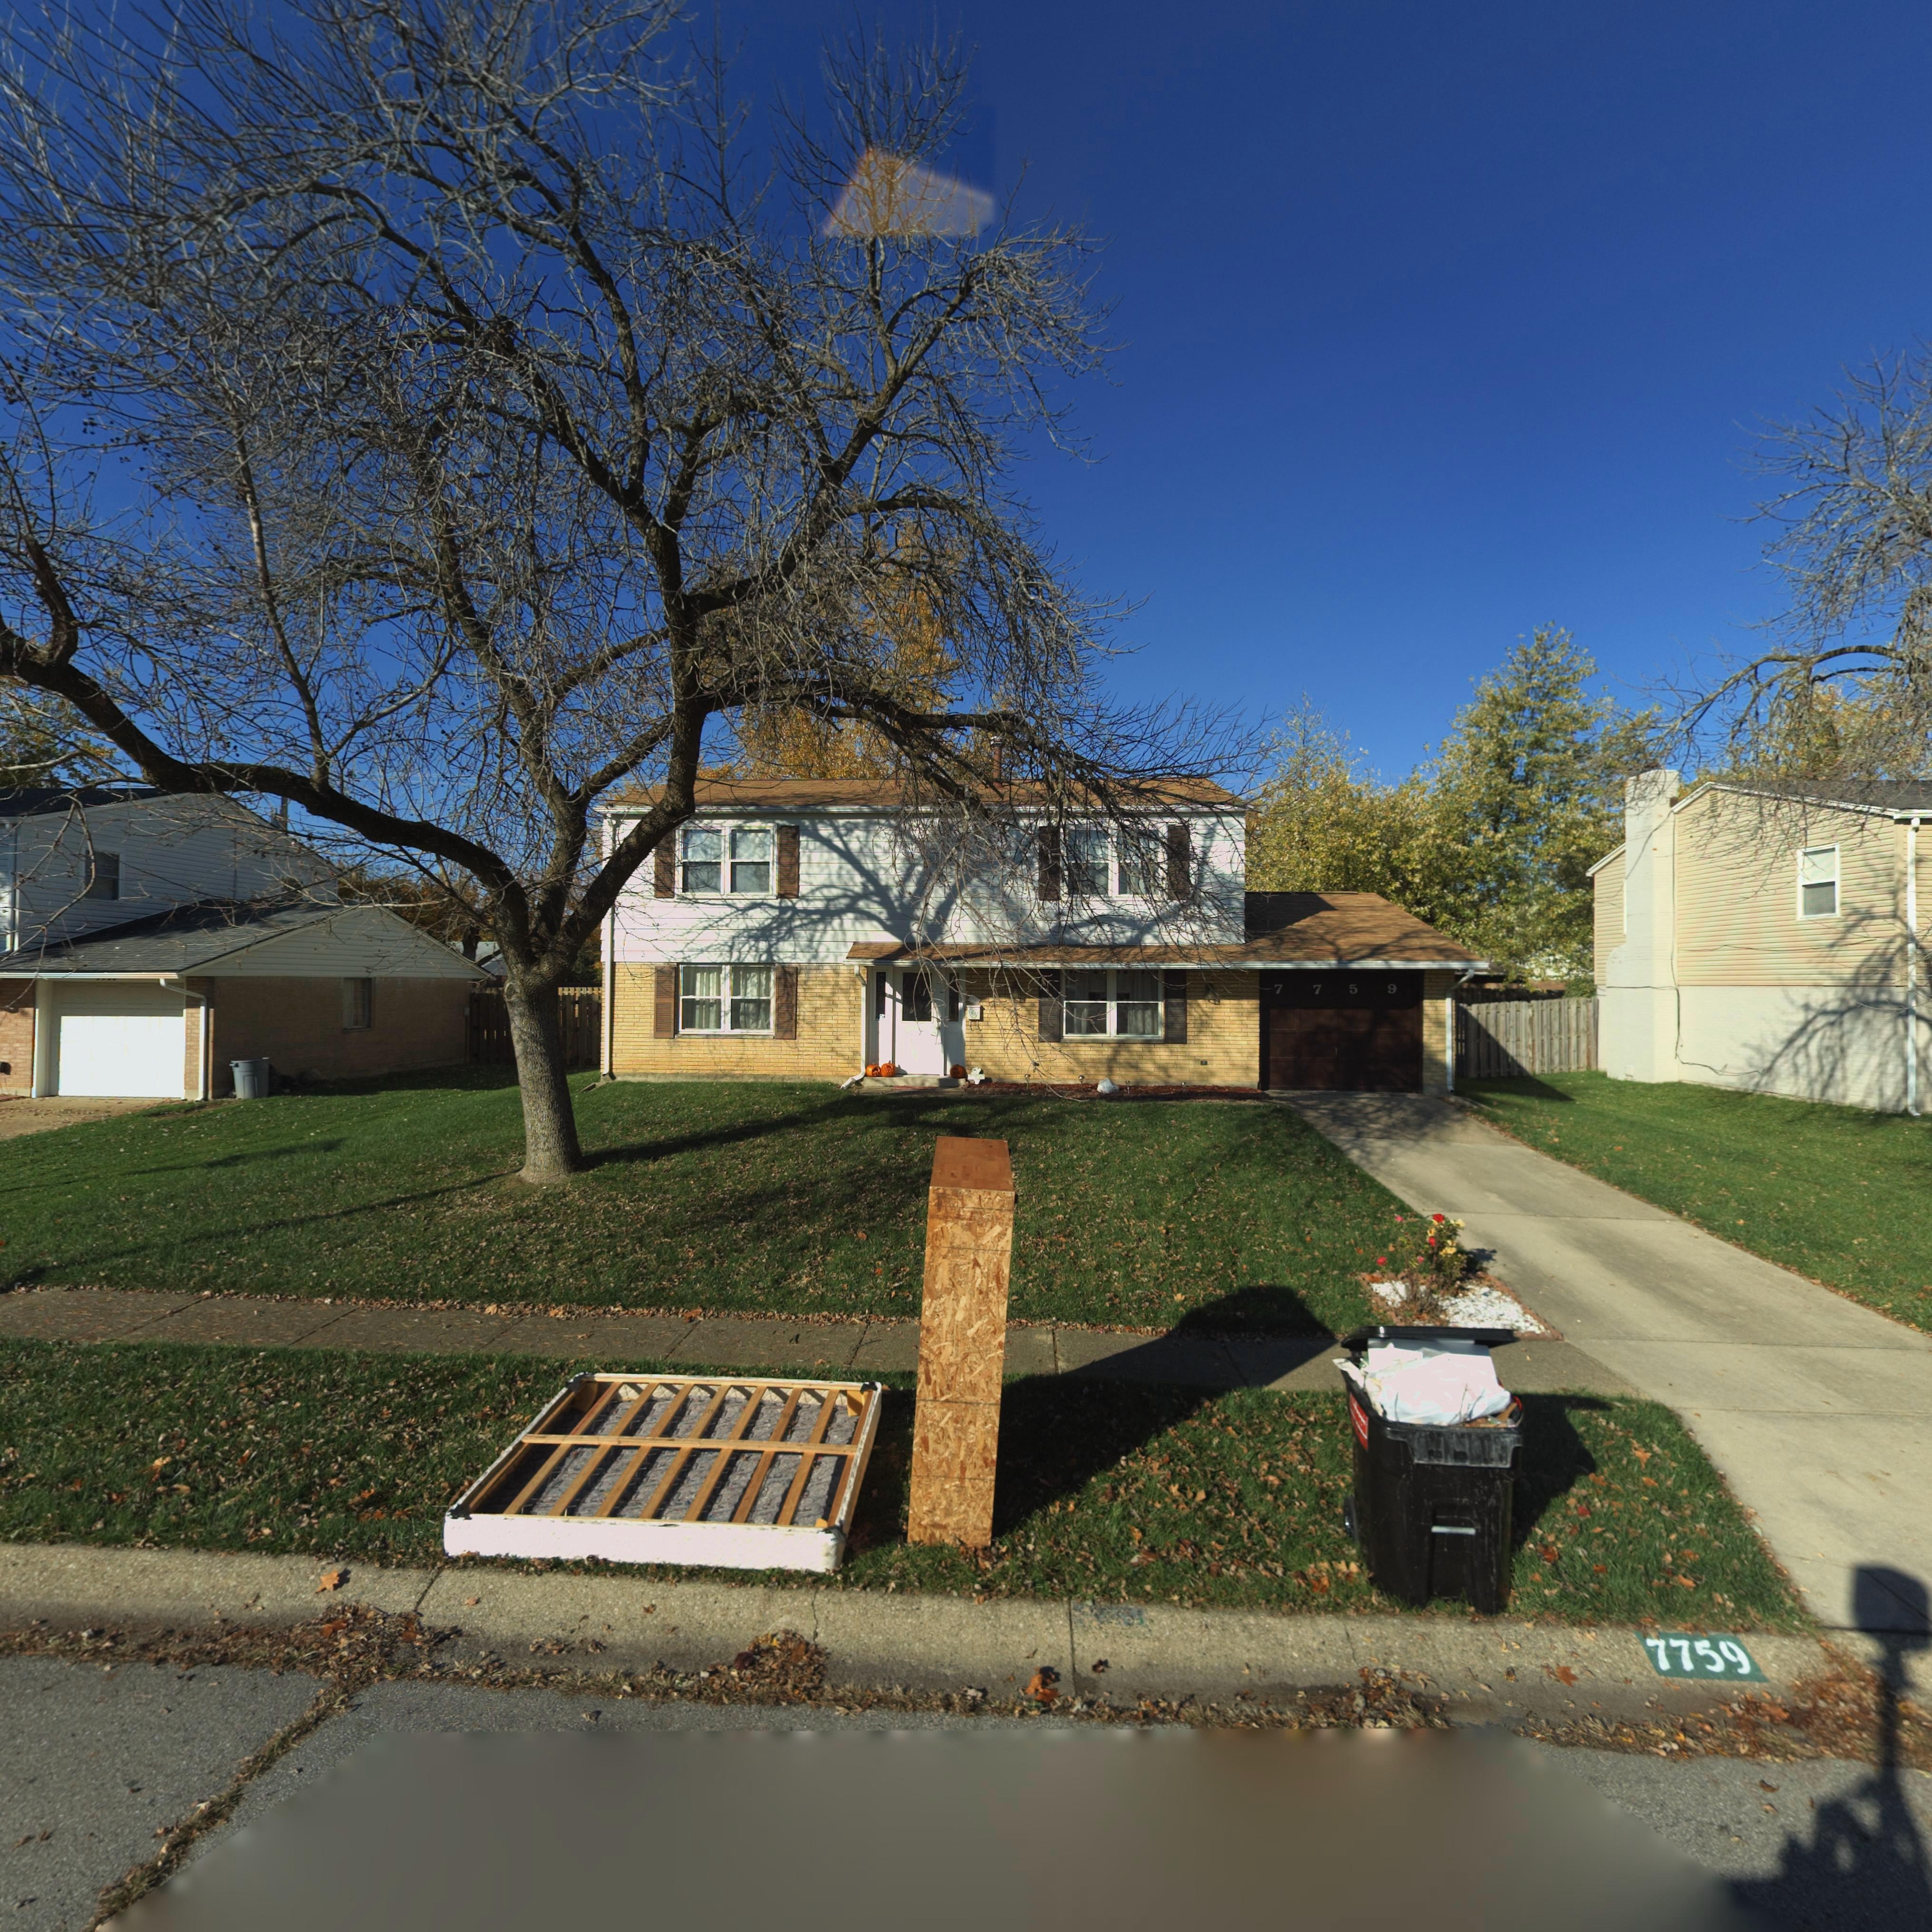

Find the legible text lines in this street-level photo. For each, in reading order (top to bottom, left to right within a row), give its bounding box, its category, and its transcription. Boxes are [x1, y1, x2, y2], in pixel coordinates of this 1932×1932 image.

[1273, 982, 1399, 996] StreetNumber: 7759
[1643, 1637, 1753, 1675] StreetNumber: 7759